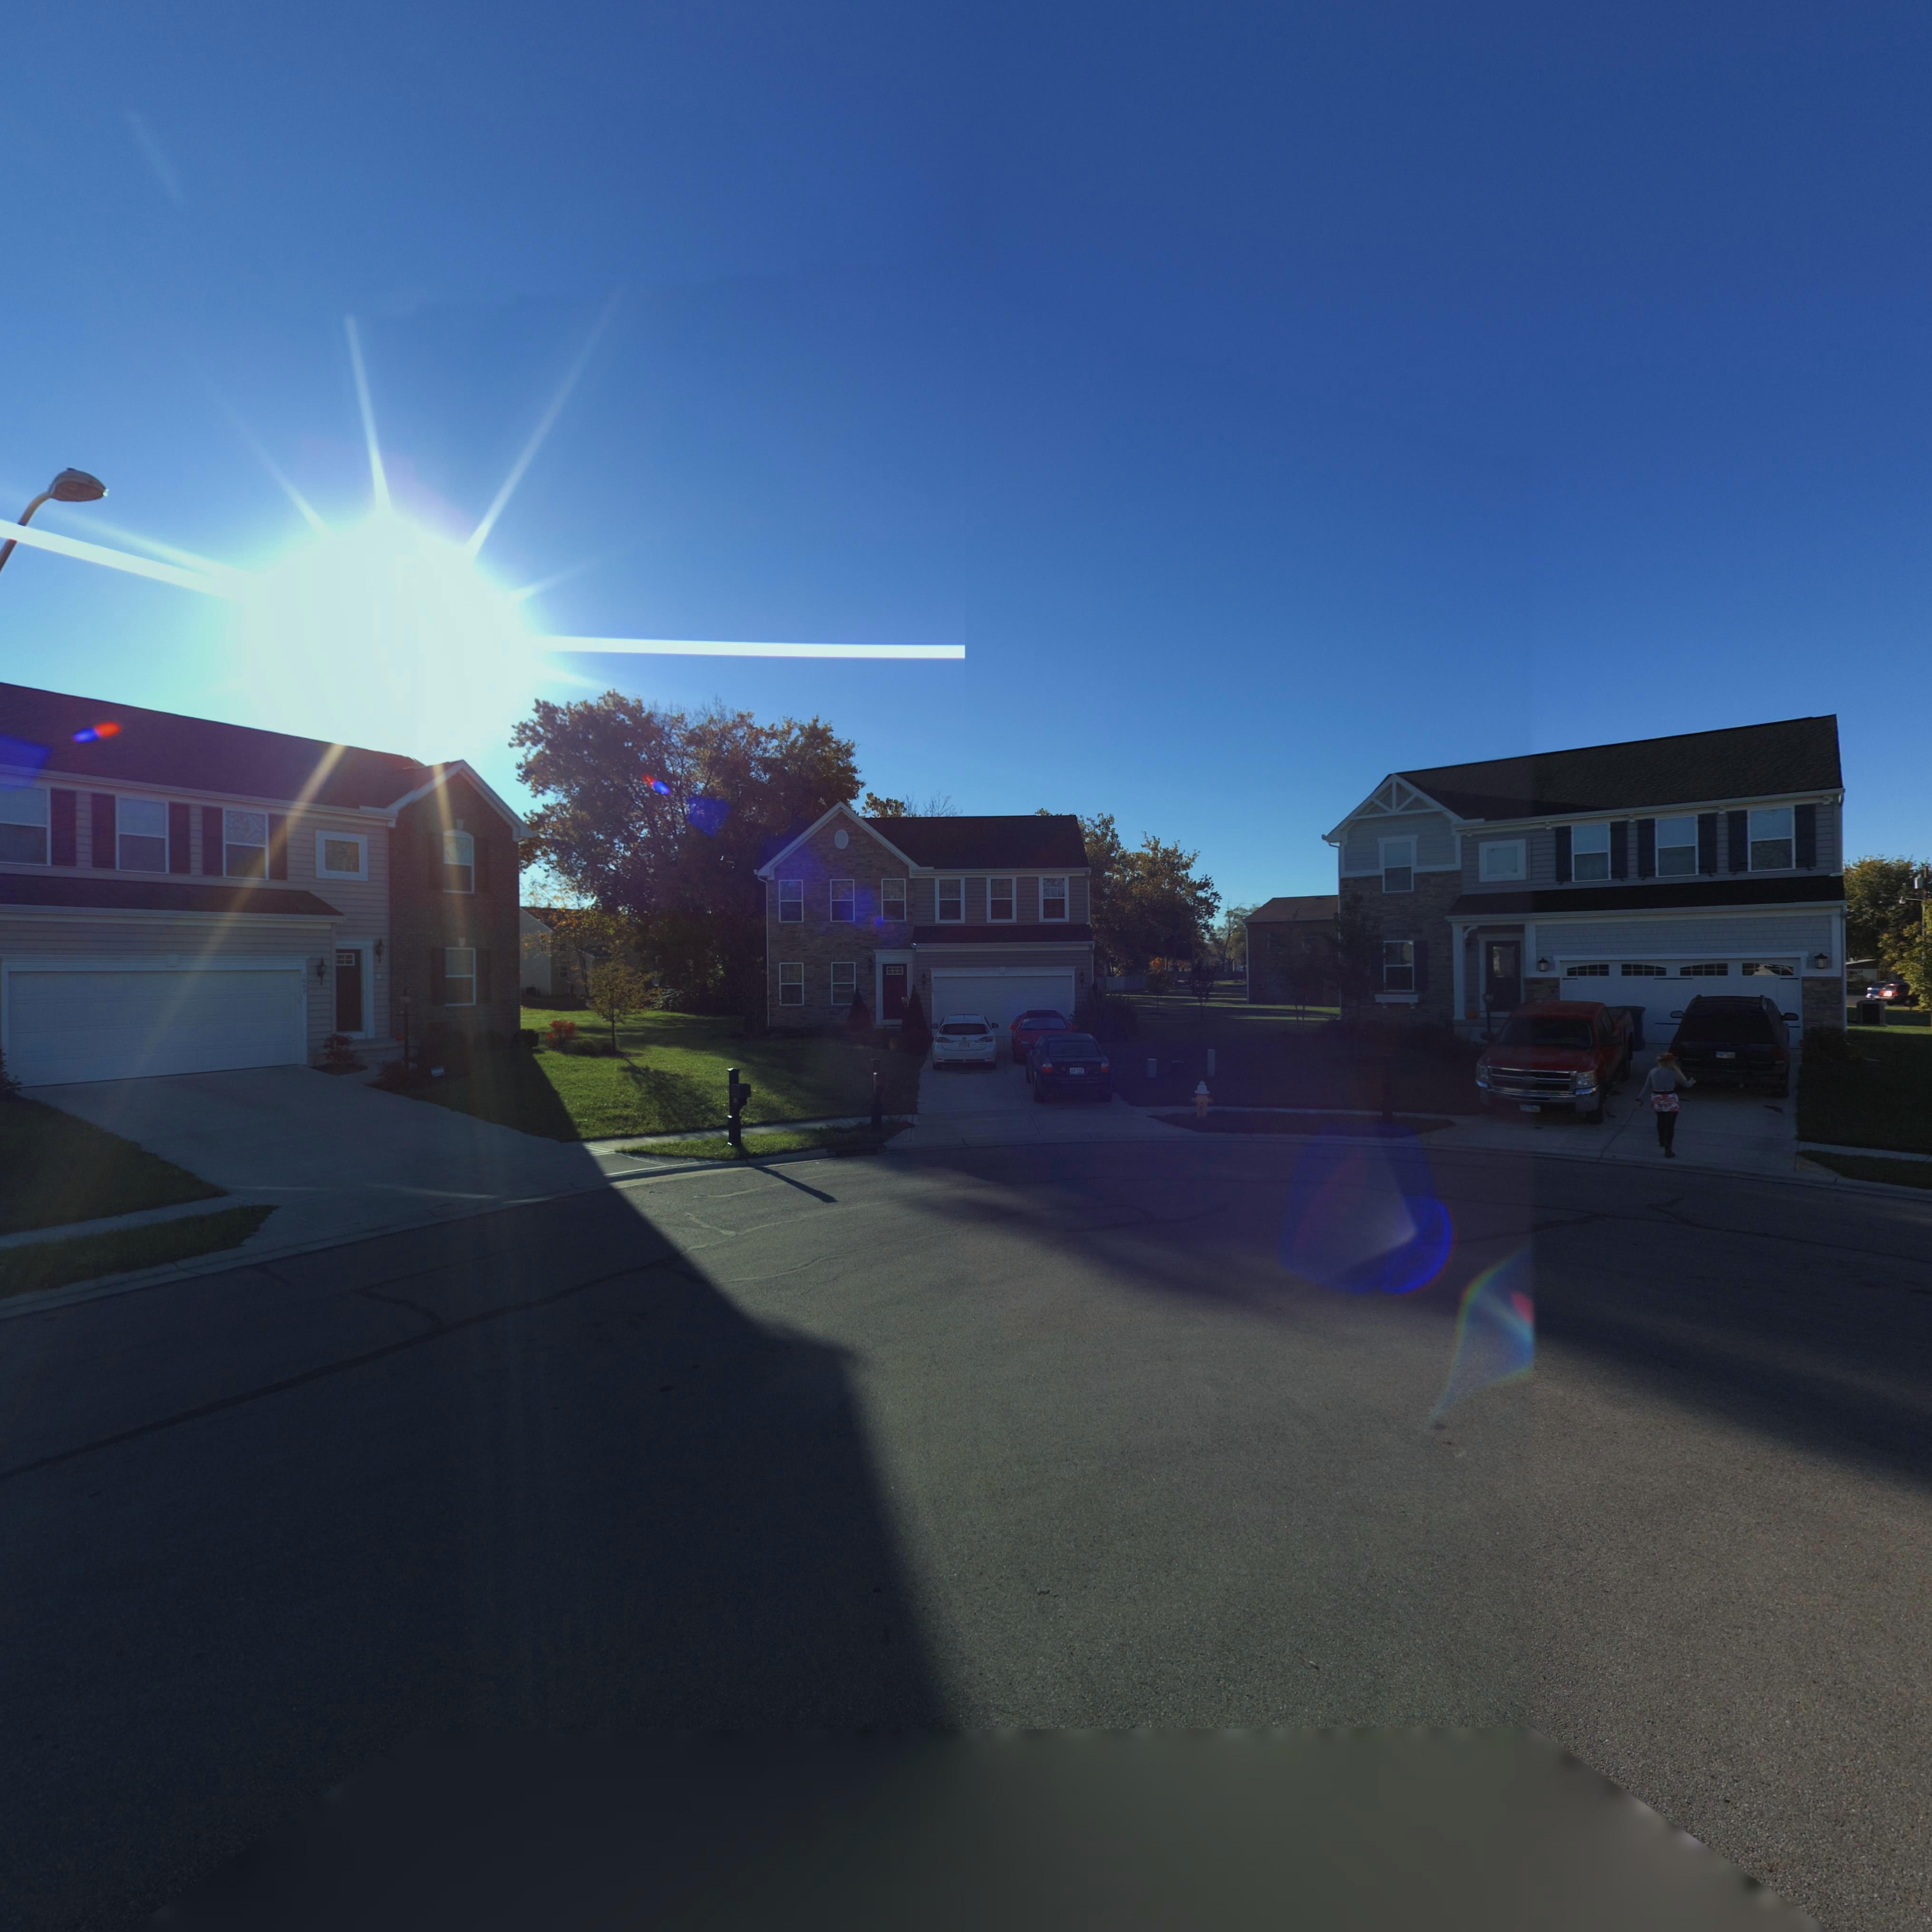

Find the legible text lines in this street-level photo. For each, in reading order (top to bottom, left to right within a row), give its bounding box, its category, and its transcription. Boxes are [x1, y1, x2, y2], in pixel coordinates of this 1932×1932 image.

[301, 973, 308, 995] StreetNumber: 100*